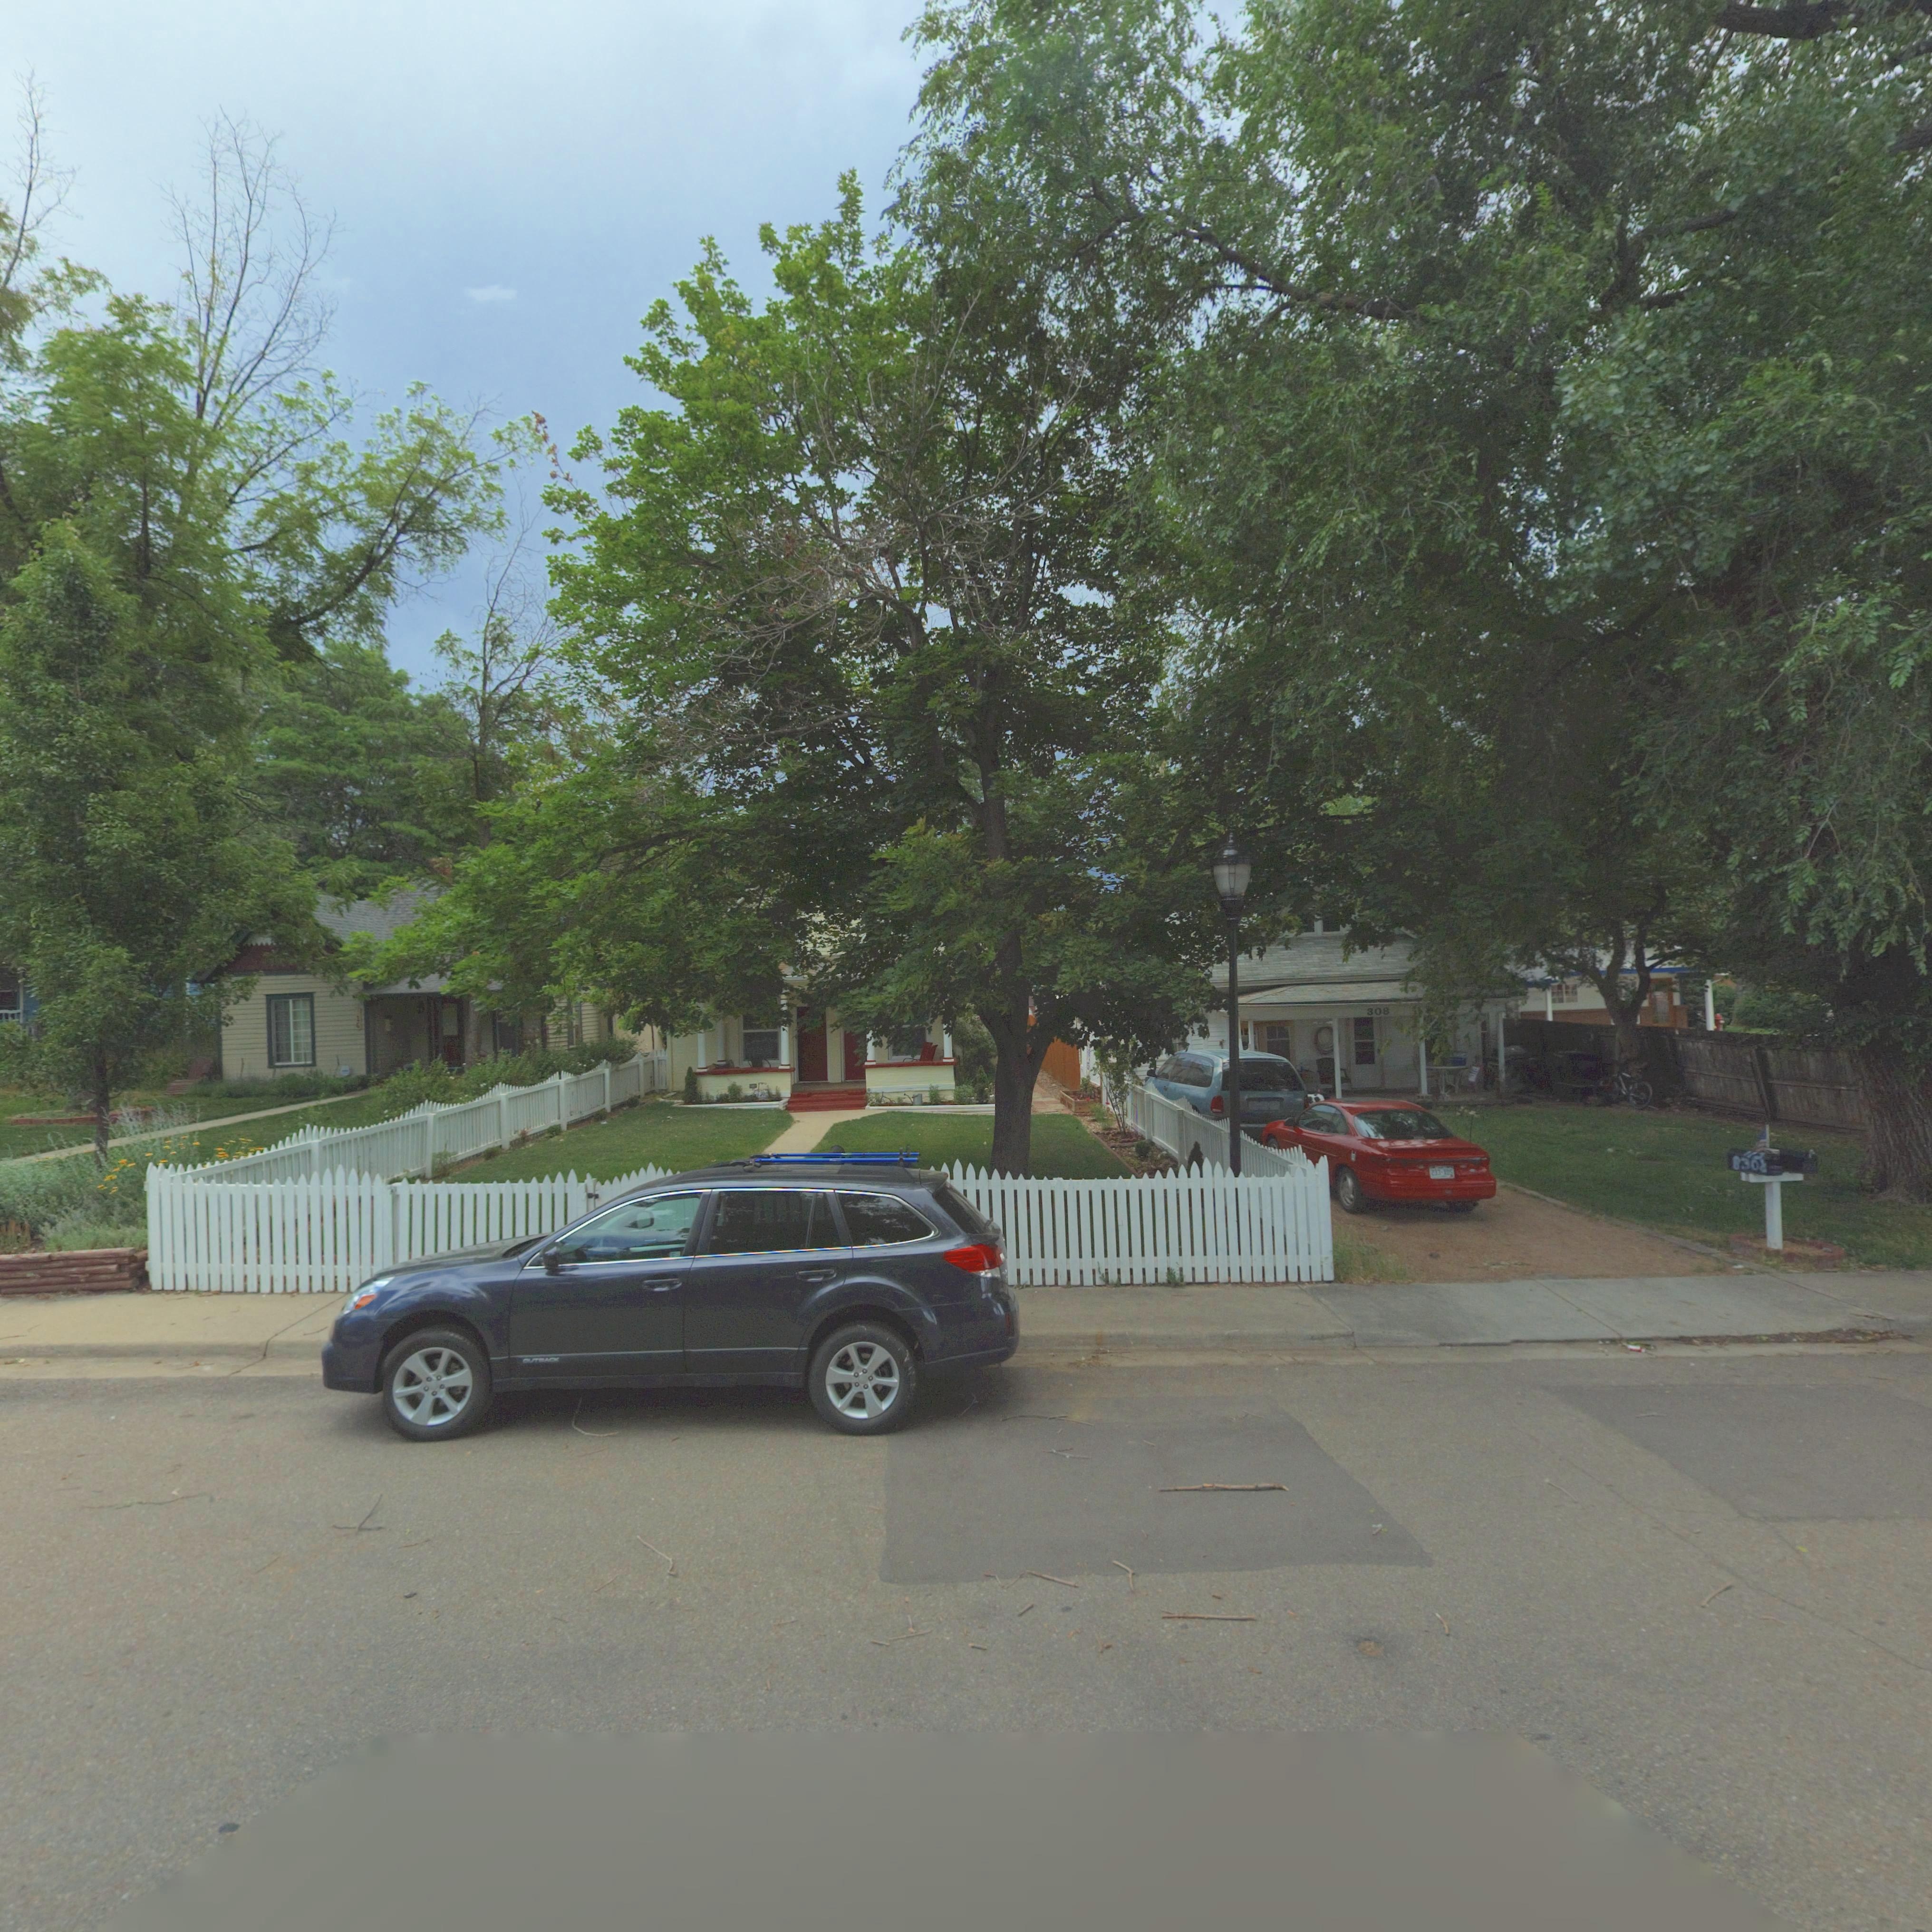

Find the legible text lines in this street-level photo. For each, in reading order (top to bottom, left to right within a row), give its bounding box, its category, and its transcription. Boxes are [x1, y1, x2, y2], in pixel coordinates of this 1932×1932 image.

[1366, 1006, 1390, 1015] StreetNumber: 308
[356, 1015, 360, 1028] StreetNumber: 16
[1731, 1155, 1759, 1171] StreetNumber: 830